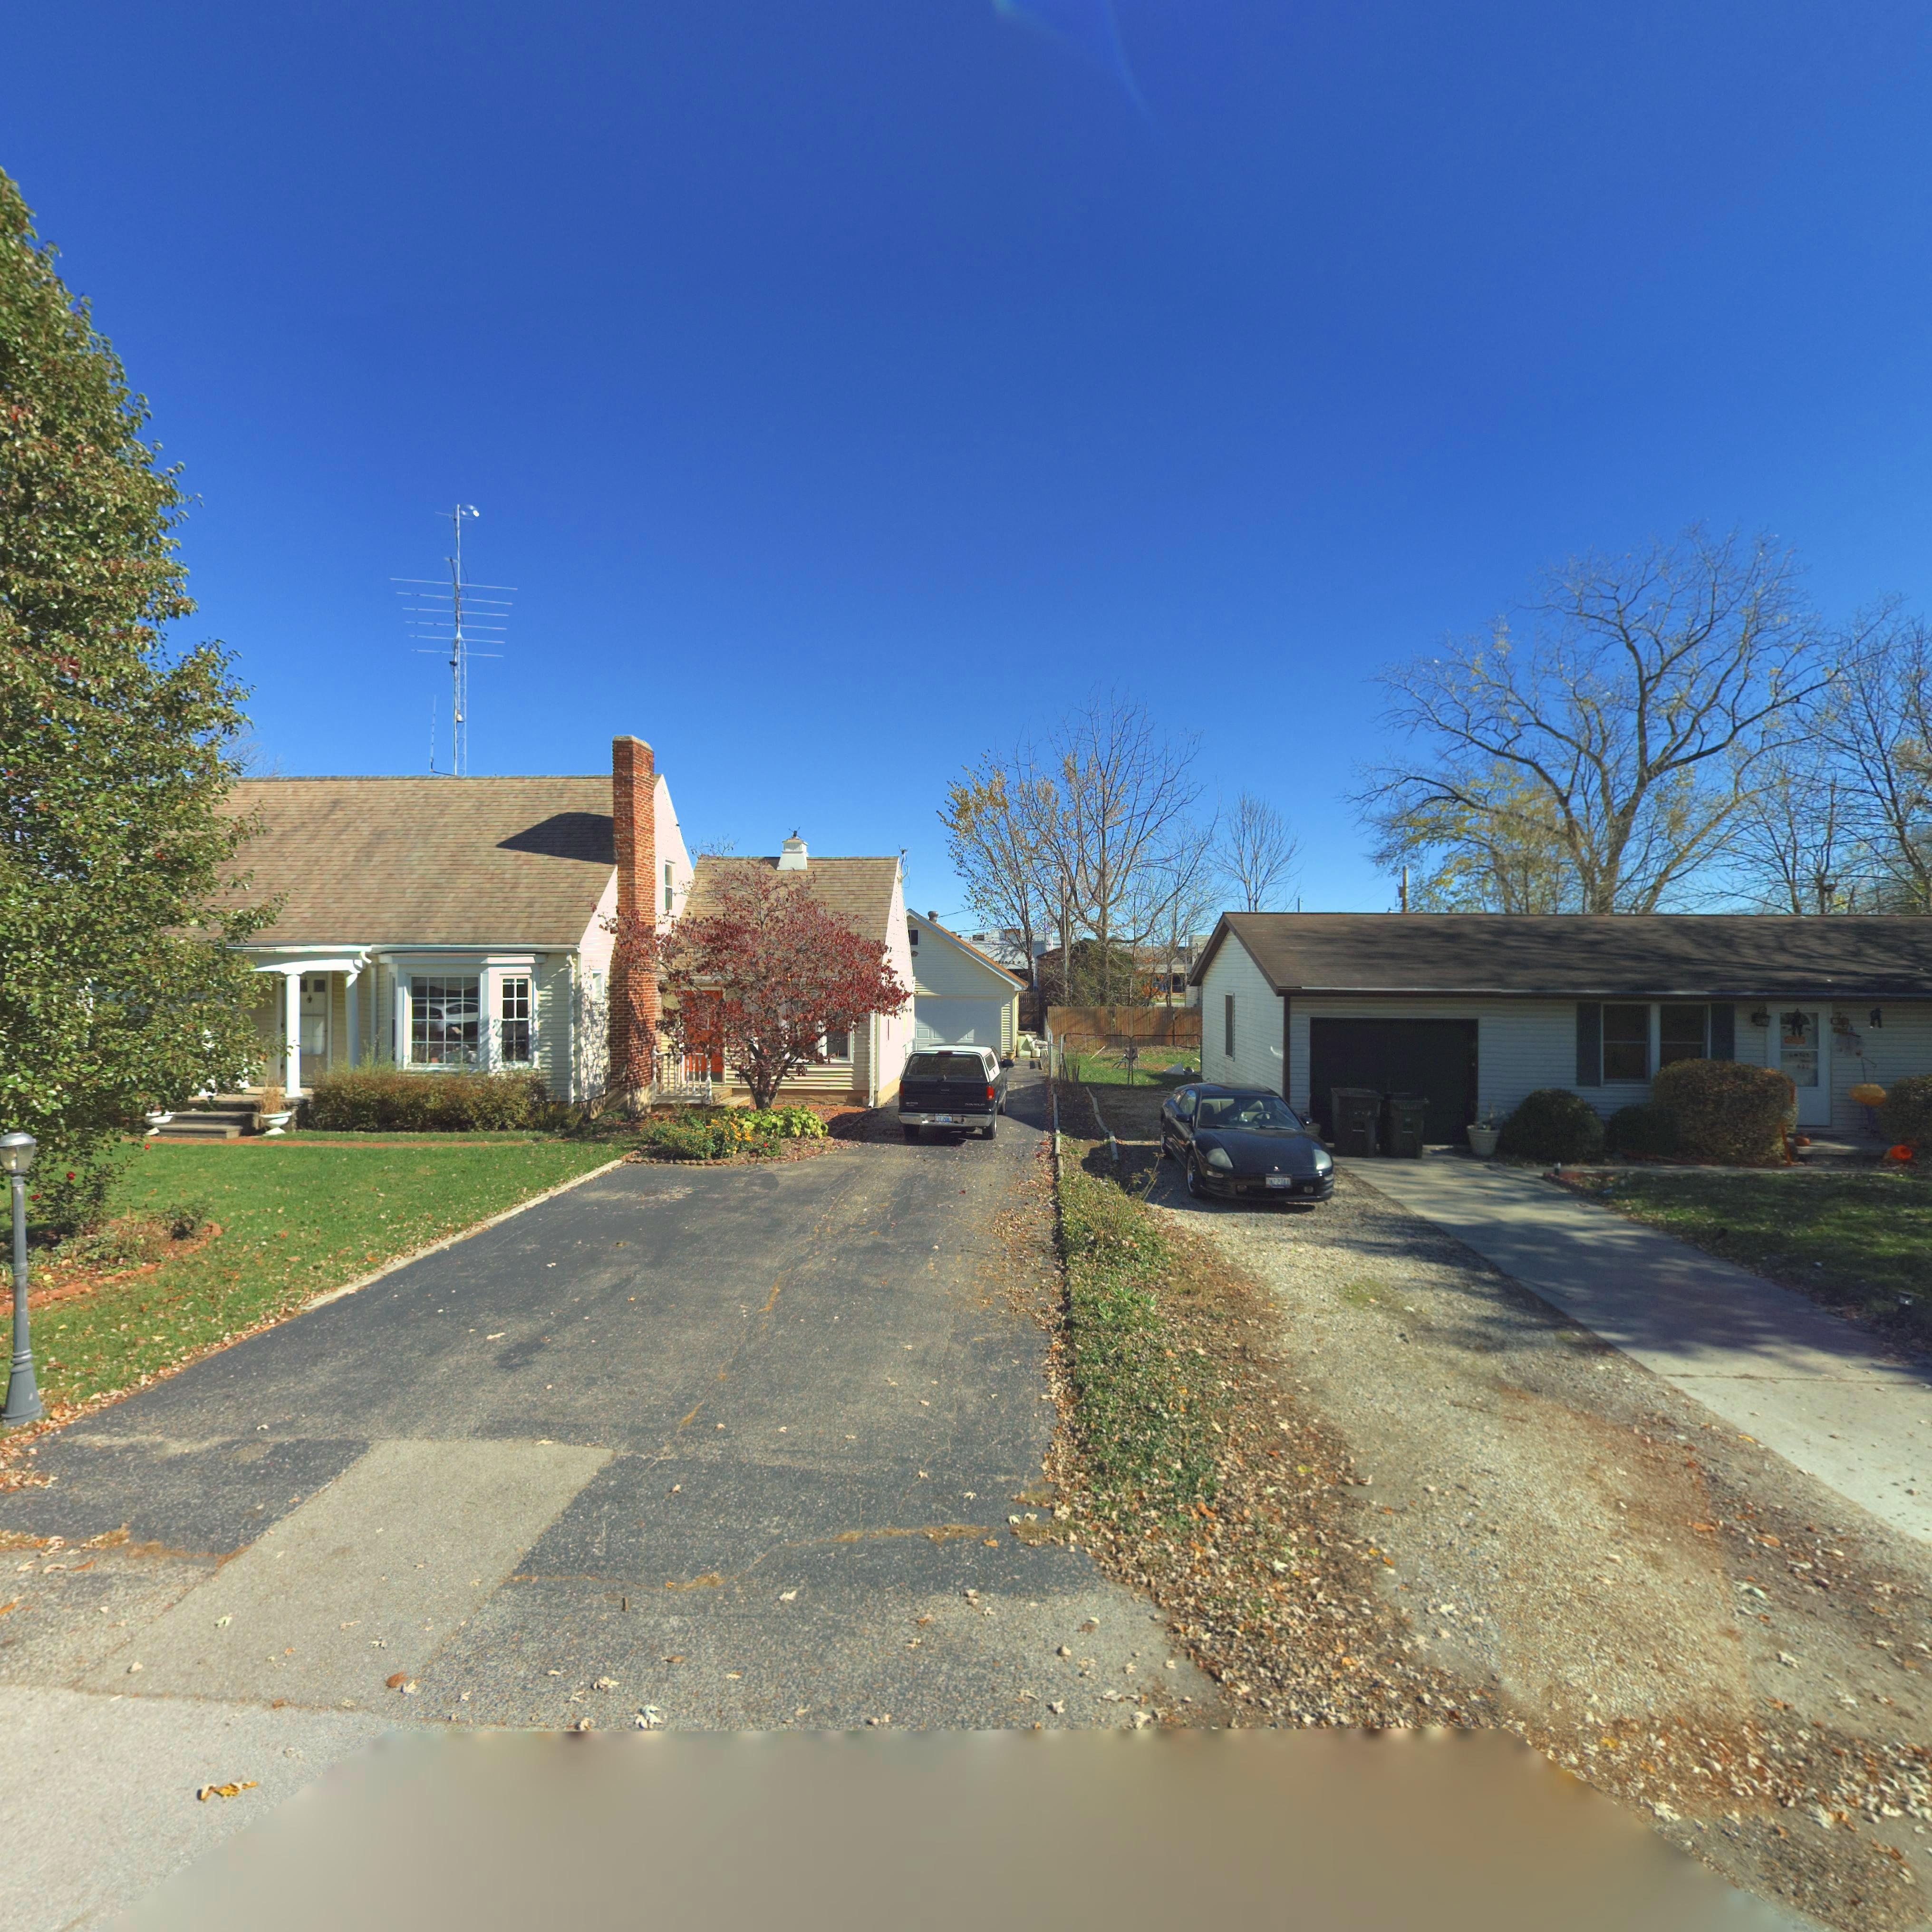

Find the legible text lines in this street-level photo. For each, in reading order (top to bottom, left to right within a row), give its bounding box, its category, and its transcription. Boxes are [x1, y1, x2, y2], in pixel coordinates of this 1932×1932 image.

[1835, 1011, 1842, 1018] StreetNumber: 7